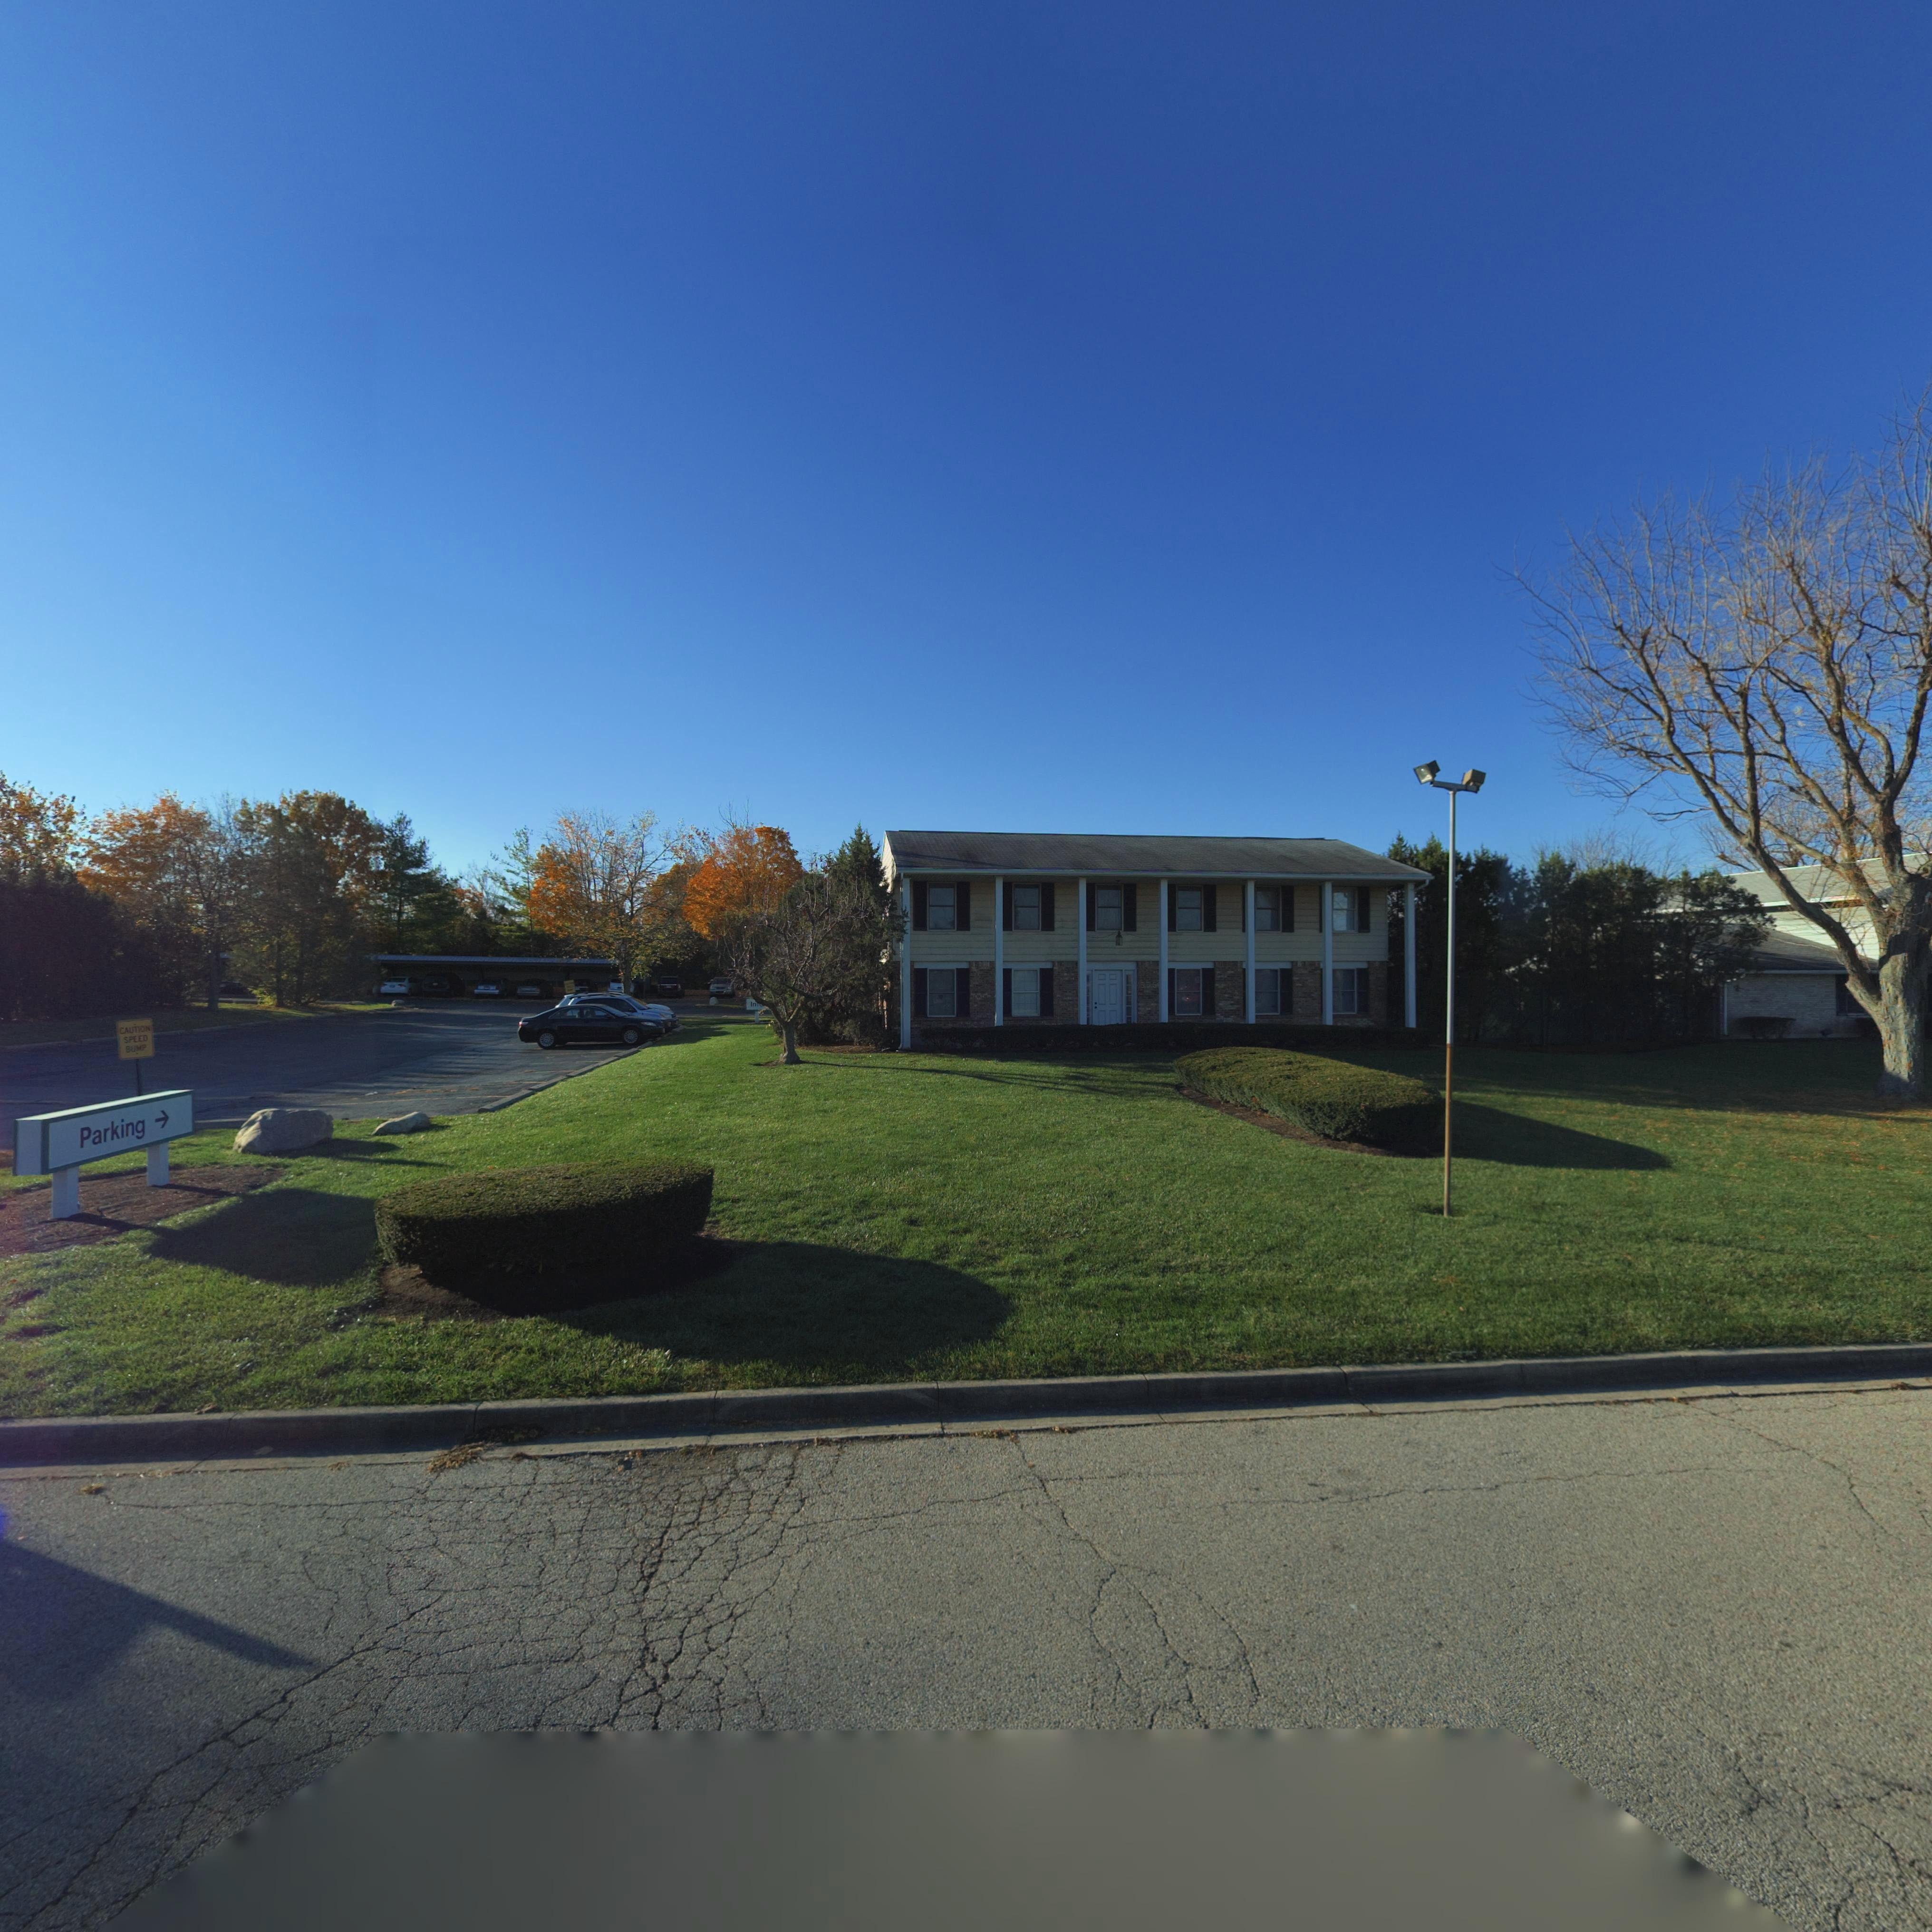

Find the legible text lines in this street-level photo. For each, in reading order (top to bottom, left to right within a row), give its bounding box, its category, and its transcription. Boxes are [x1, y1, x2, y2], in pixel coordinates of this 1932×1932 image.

[1140, 981, 1157, 989] StreetNumber: 555